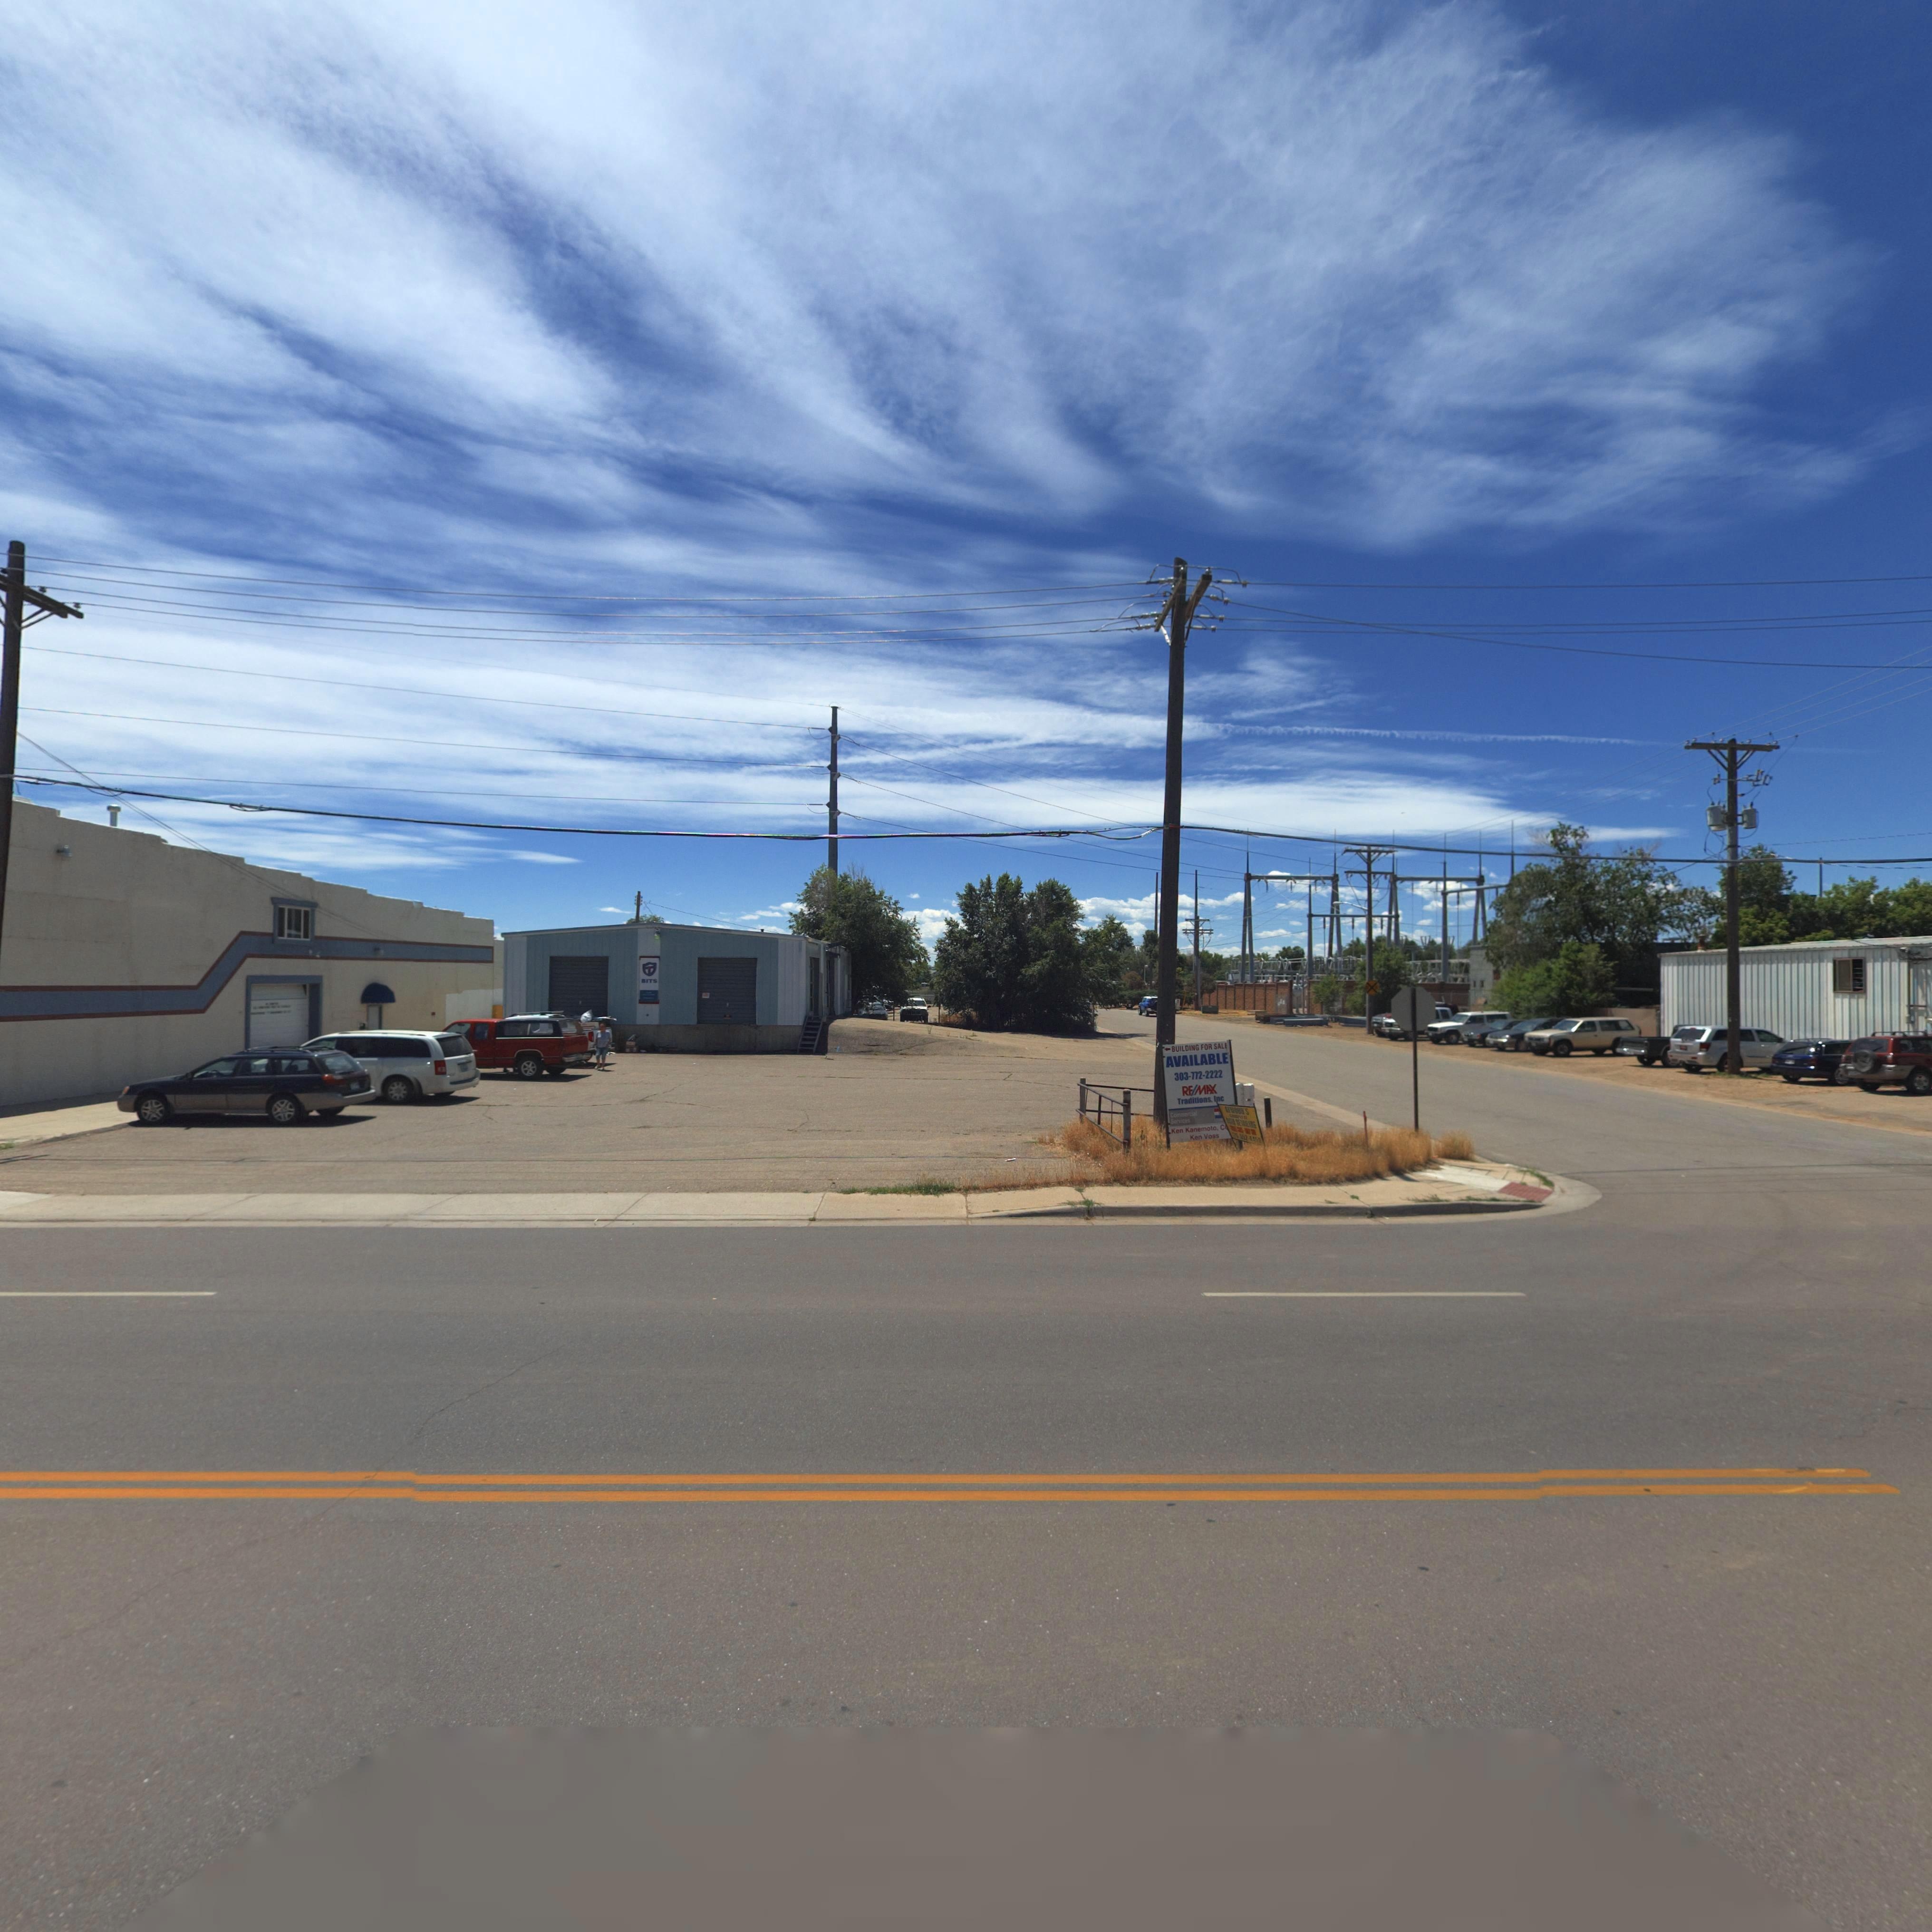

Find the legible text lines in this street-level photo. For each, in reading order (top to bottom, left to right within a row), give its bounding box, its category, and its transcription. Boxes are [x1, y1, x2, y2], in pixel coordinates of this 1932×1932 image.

[641, 978, 658, 983] BusinessName: BITS